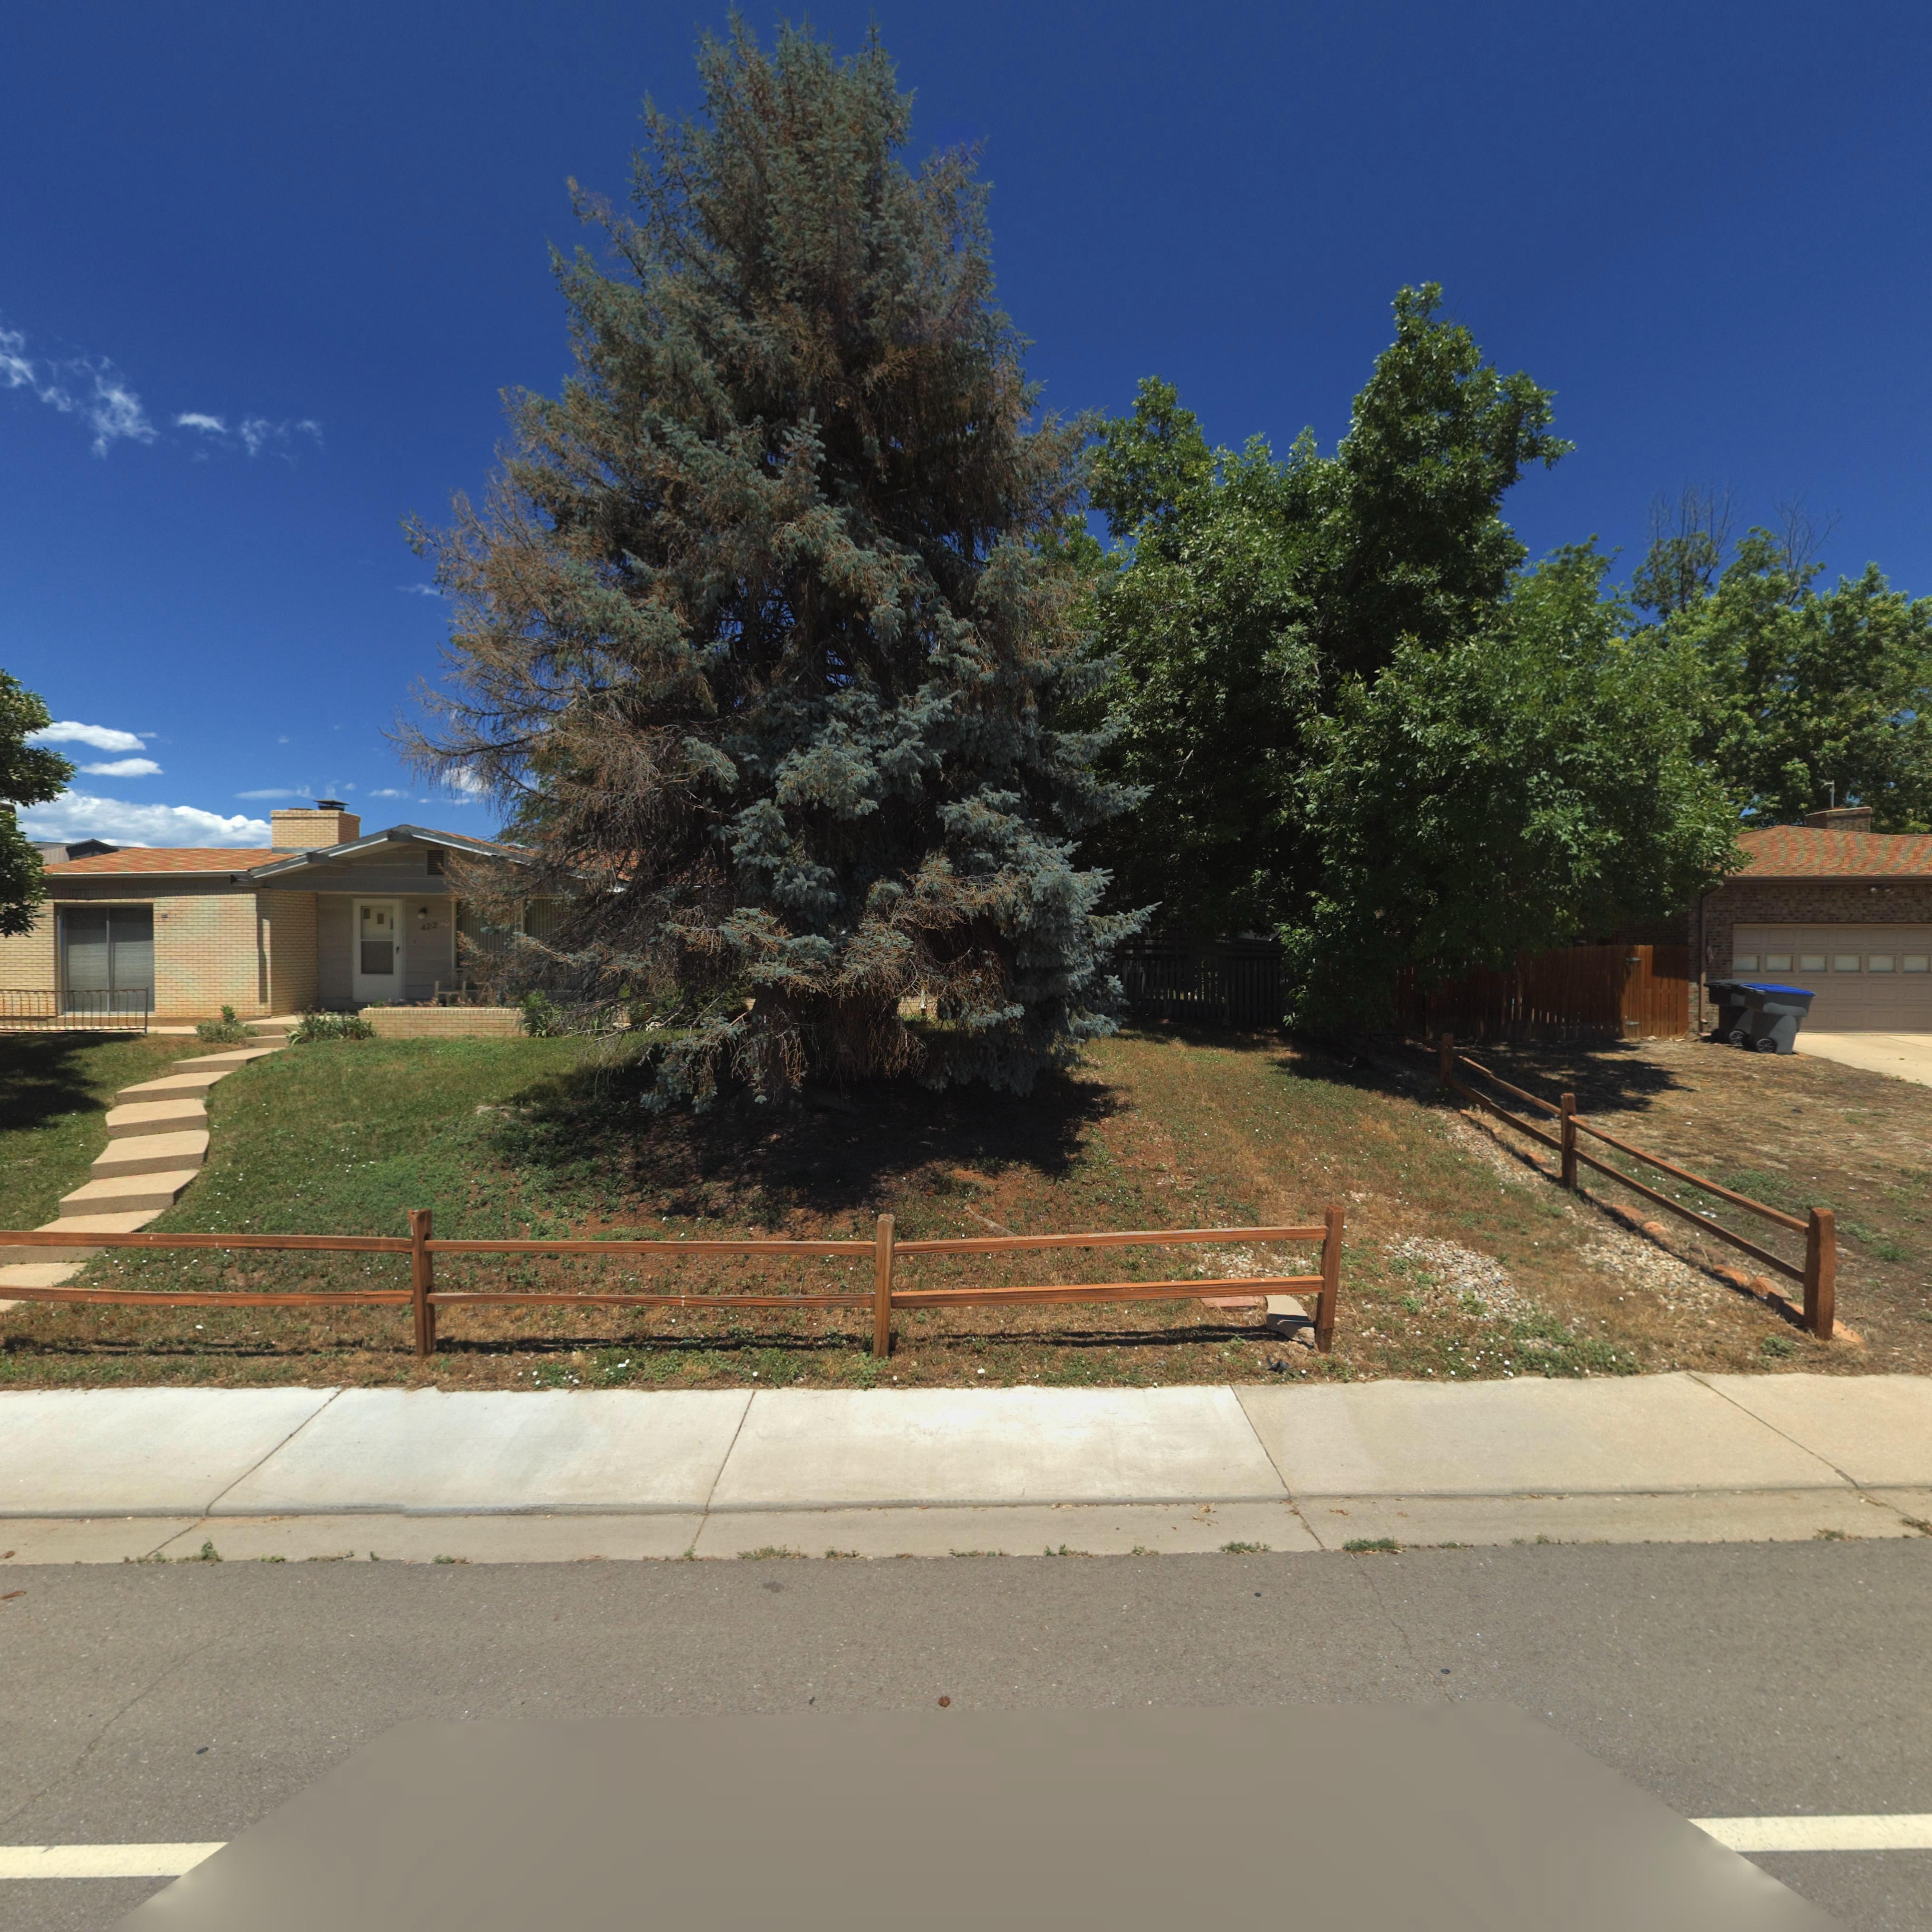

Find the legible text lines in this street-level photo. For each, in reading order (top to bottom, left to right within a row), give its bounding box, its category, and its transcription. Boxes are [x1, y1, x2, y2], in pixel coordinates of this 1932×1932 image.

[420, 920, 438, 931] StreetNumber: 422